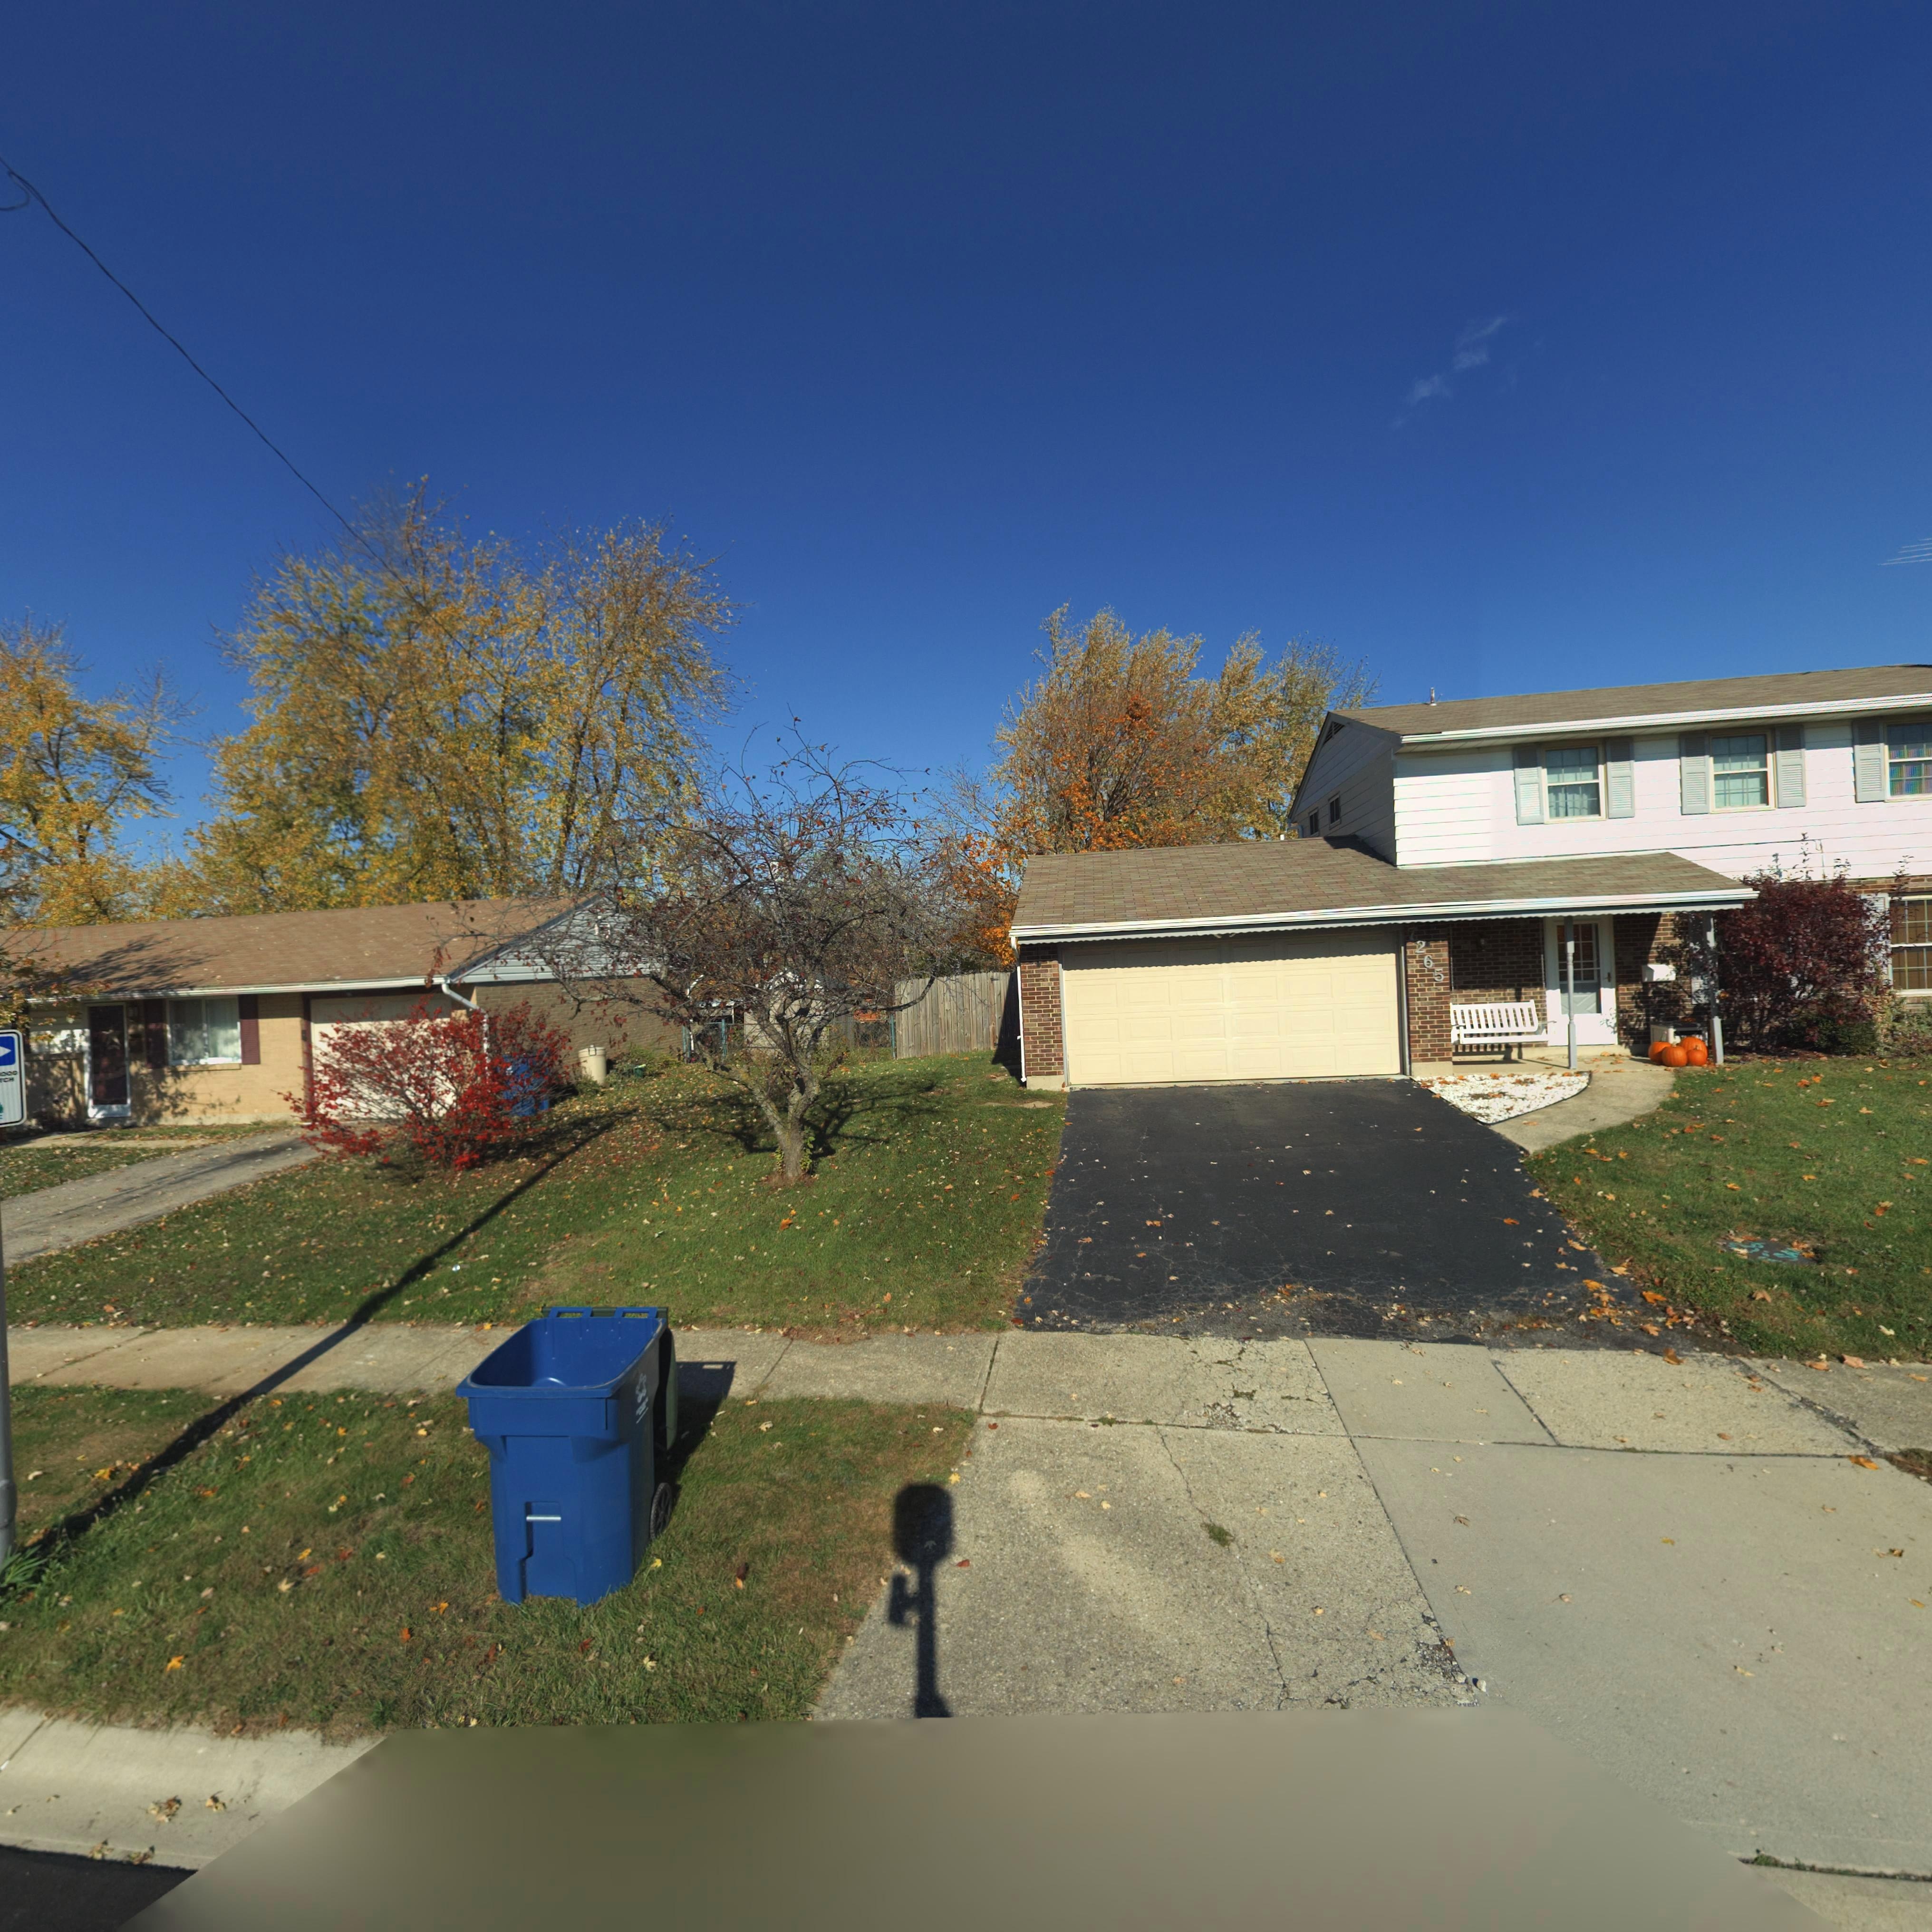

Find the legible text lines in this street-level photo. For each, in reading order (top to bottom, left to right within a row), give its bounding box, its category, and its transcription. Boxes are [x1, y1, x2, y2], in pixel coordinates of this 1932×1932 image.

[1406, 926, 1446, 983] StreetNumber: 7265